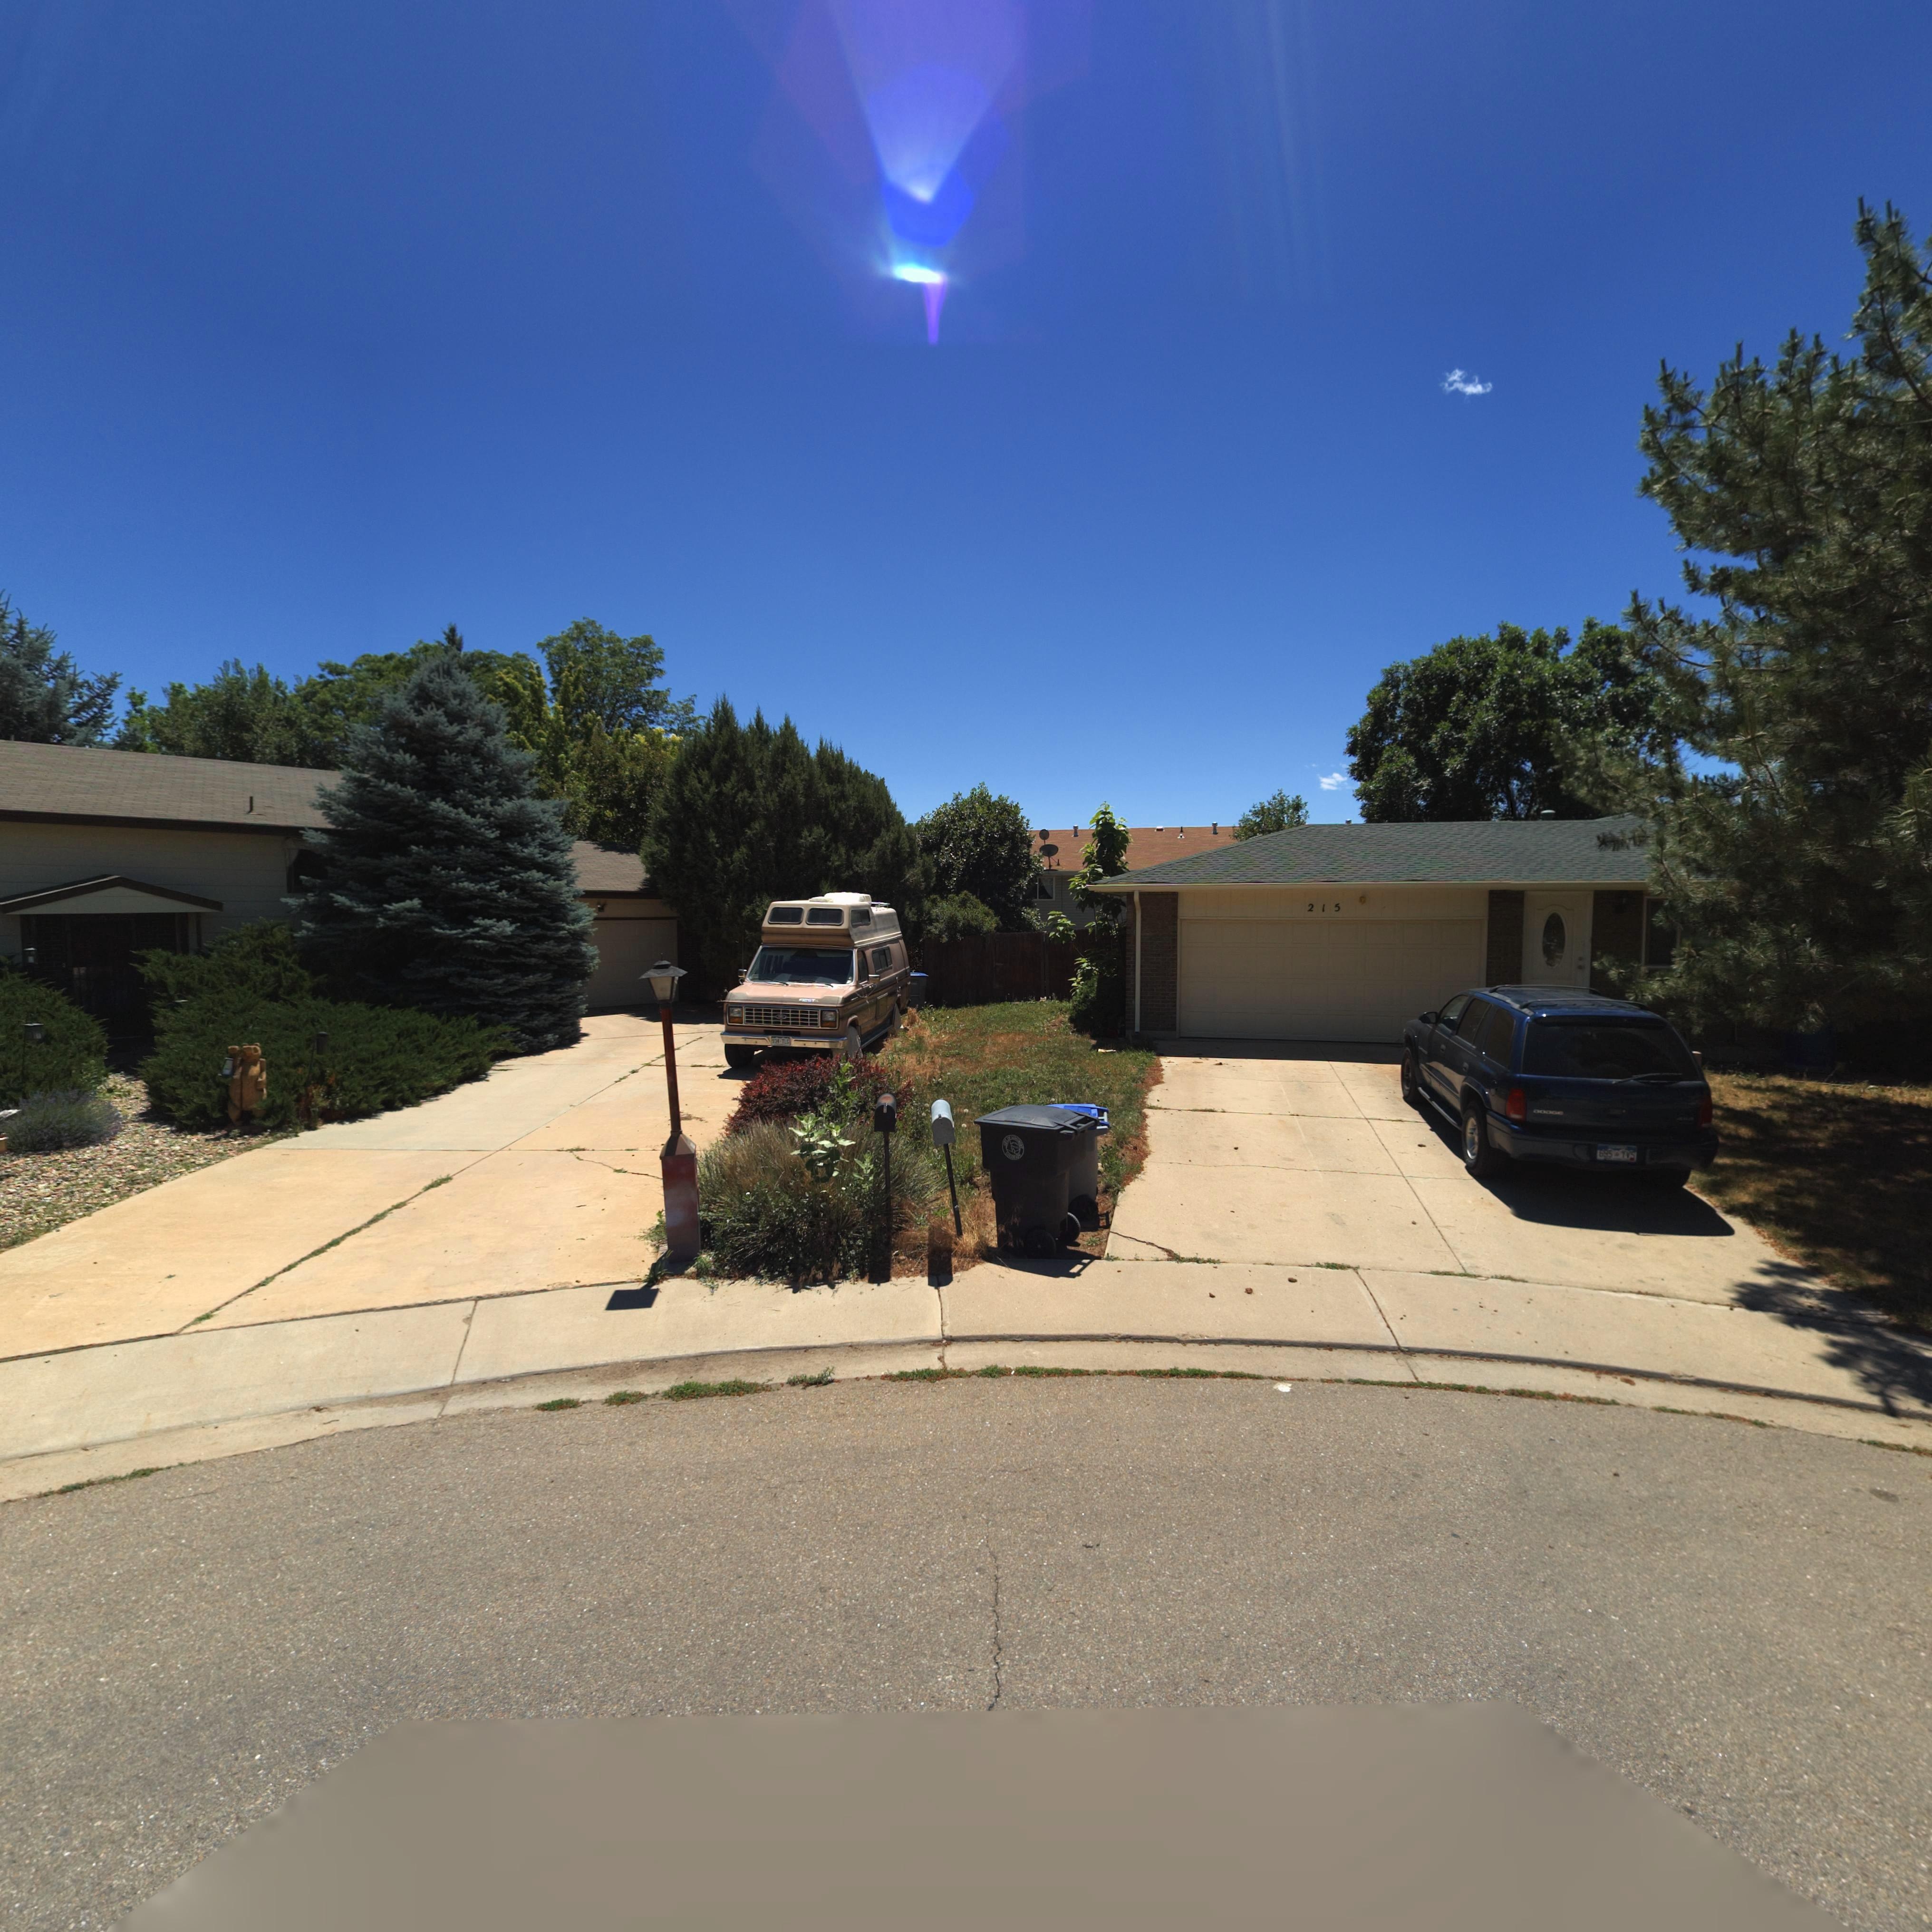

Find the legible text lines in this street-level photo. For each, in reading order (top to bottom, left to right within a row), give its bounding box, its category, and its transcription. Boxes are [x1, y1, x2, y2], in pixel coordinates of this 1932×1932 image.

[1307, 903, 1341, 912] StreetNumber: 215